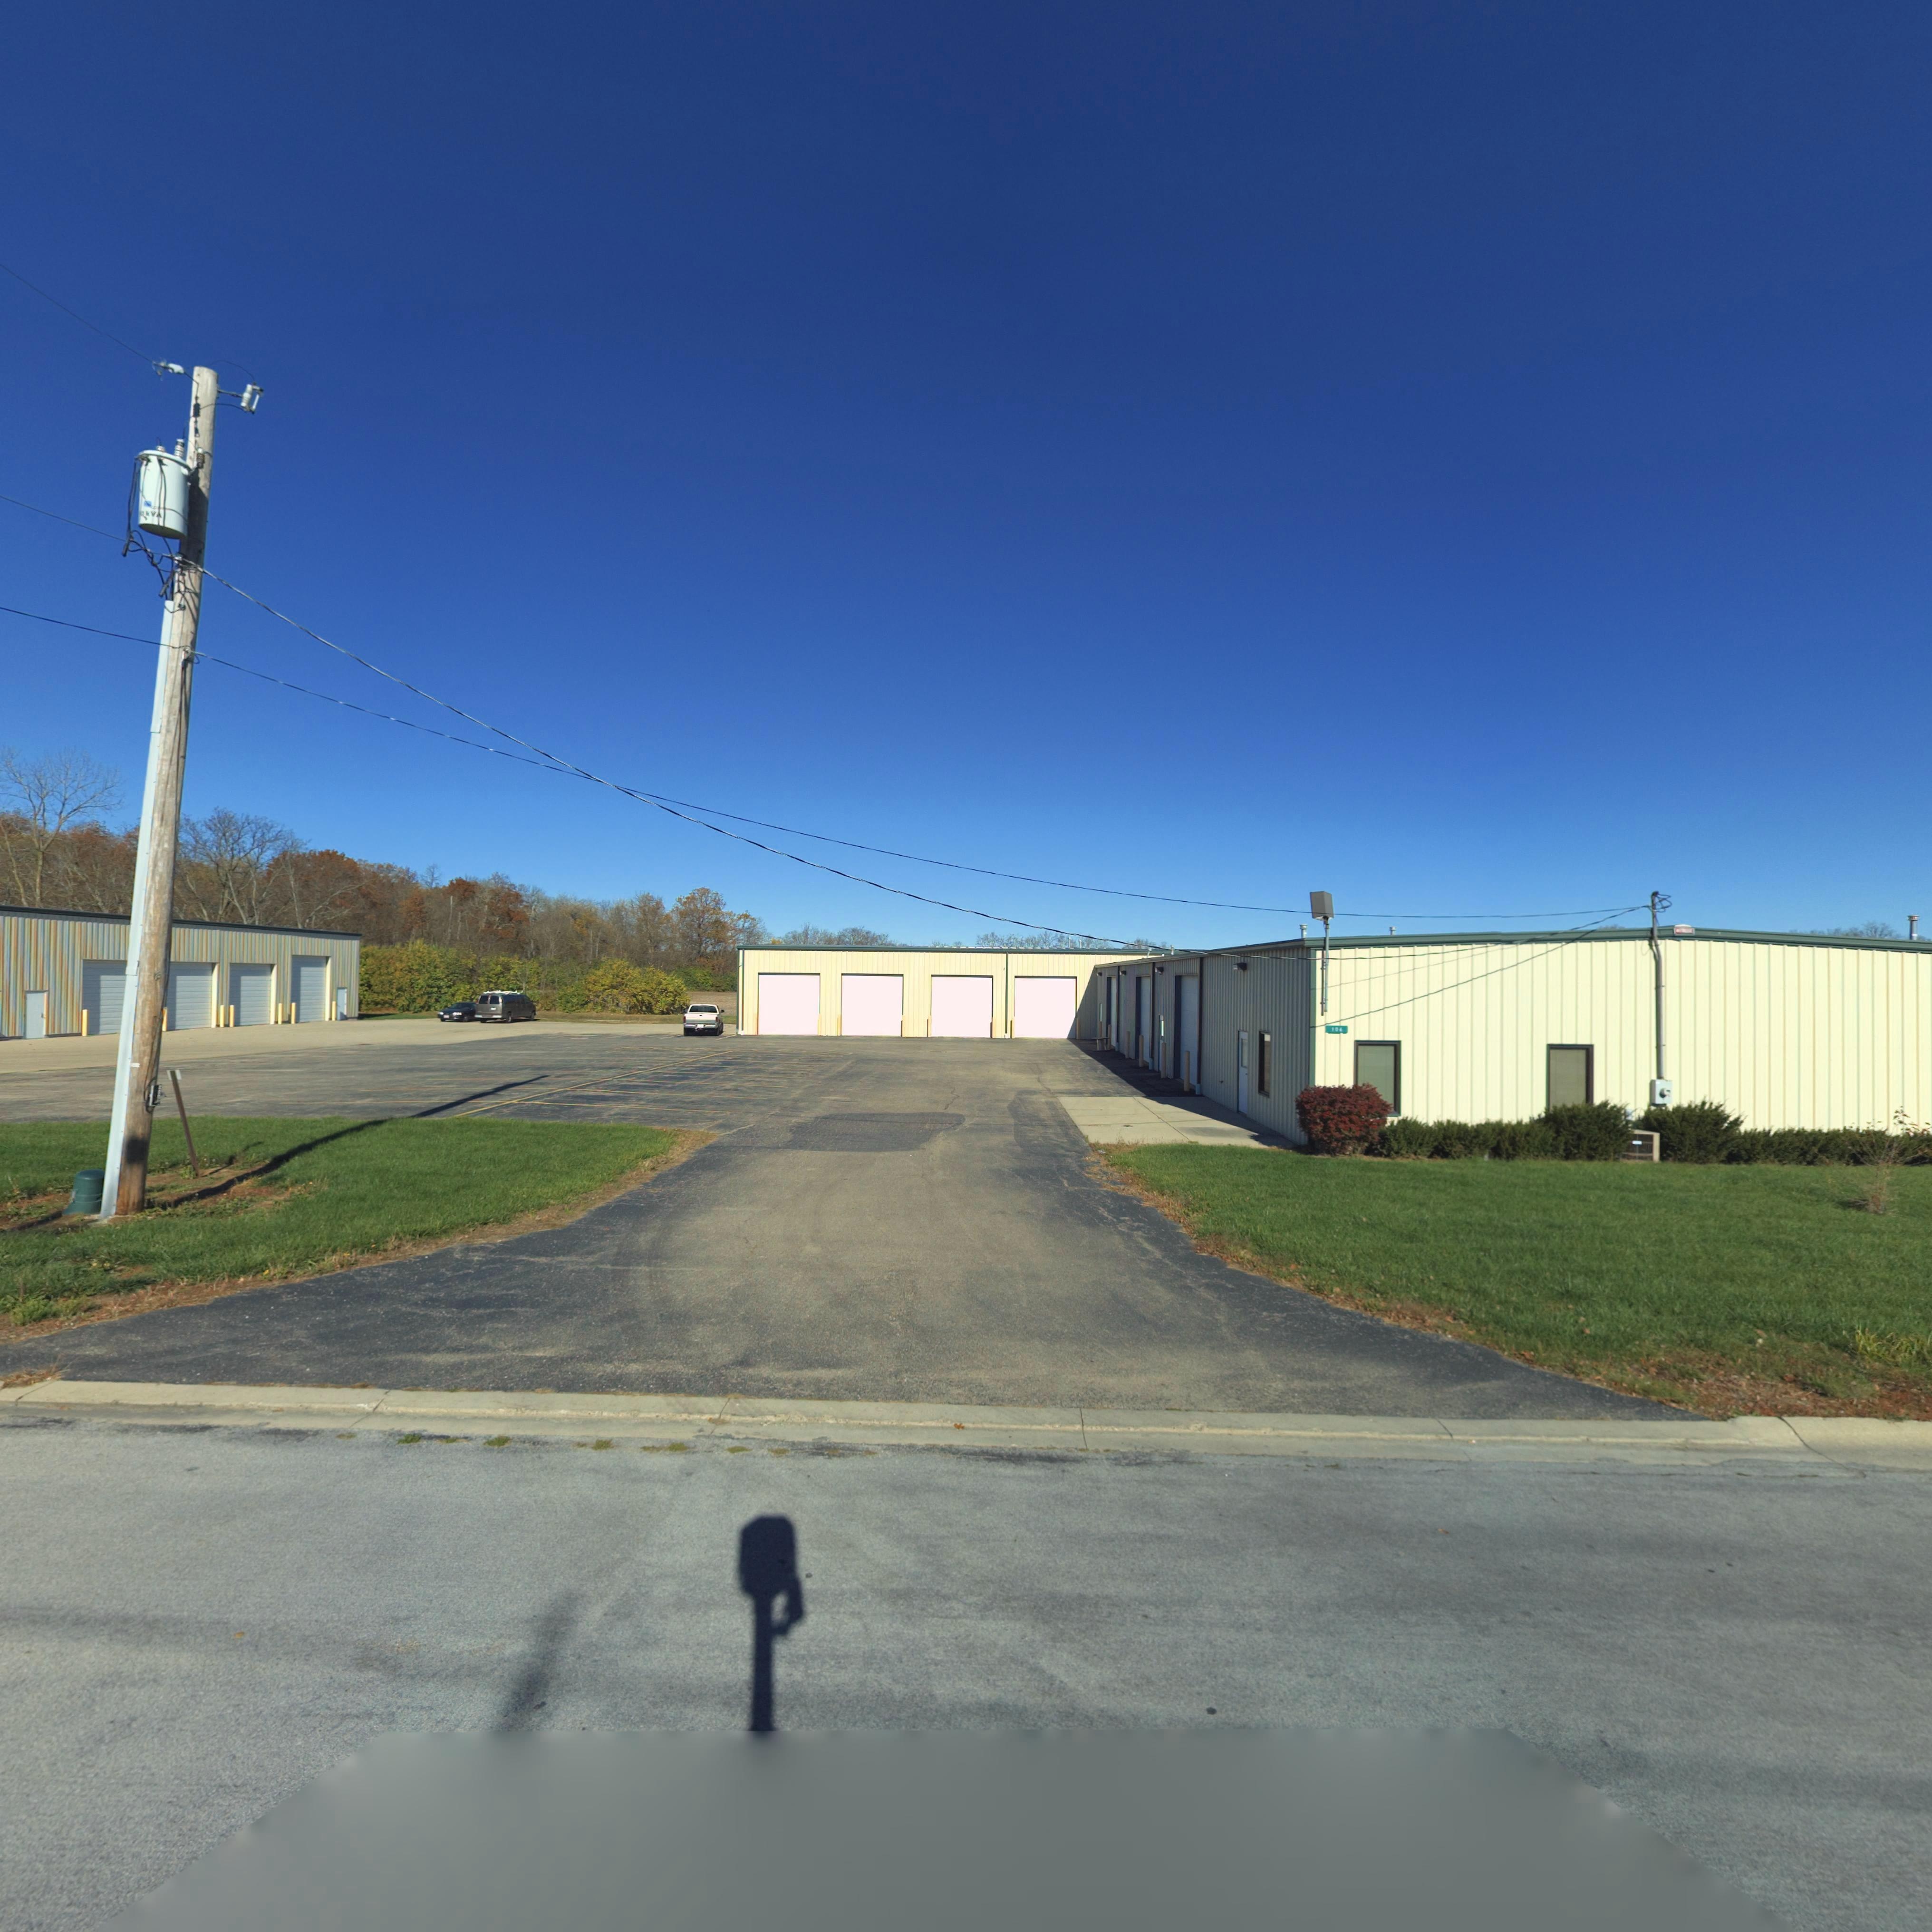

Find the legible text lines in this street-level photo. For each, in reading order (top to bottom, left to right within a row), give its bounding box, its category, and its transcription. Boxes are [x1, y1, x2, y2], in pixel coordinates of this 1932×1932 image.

[1331, 1026, 1343, 1033] StreetNumber: 10*